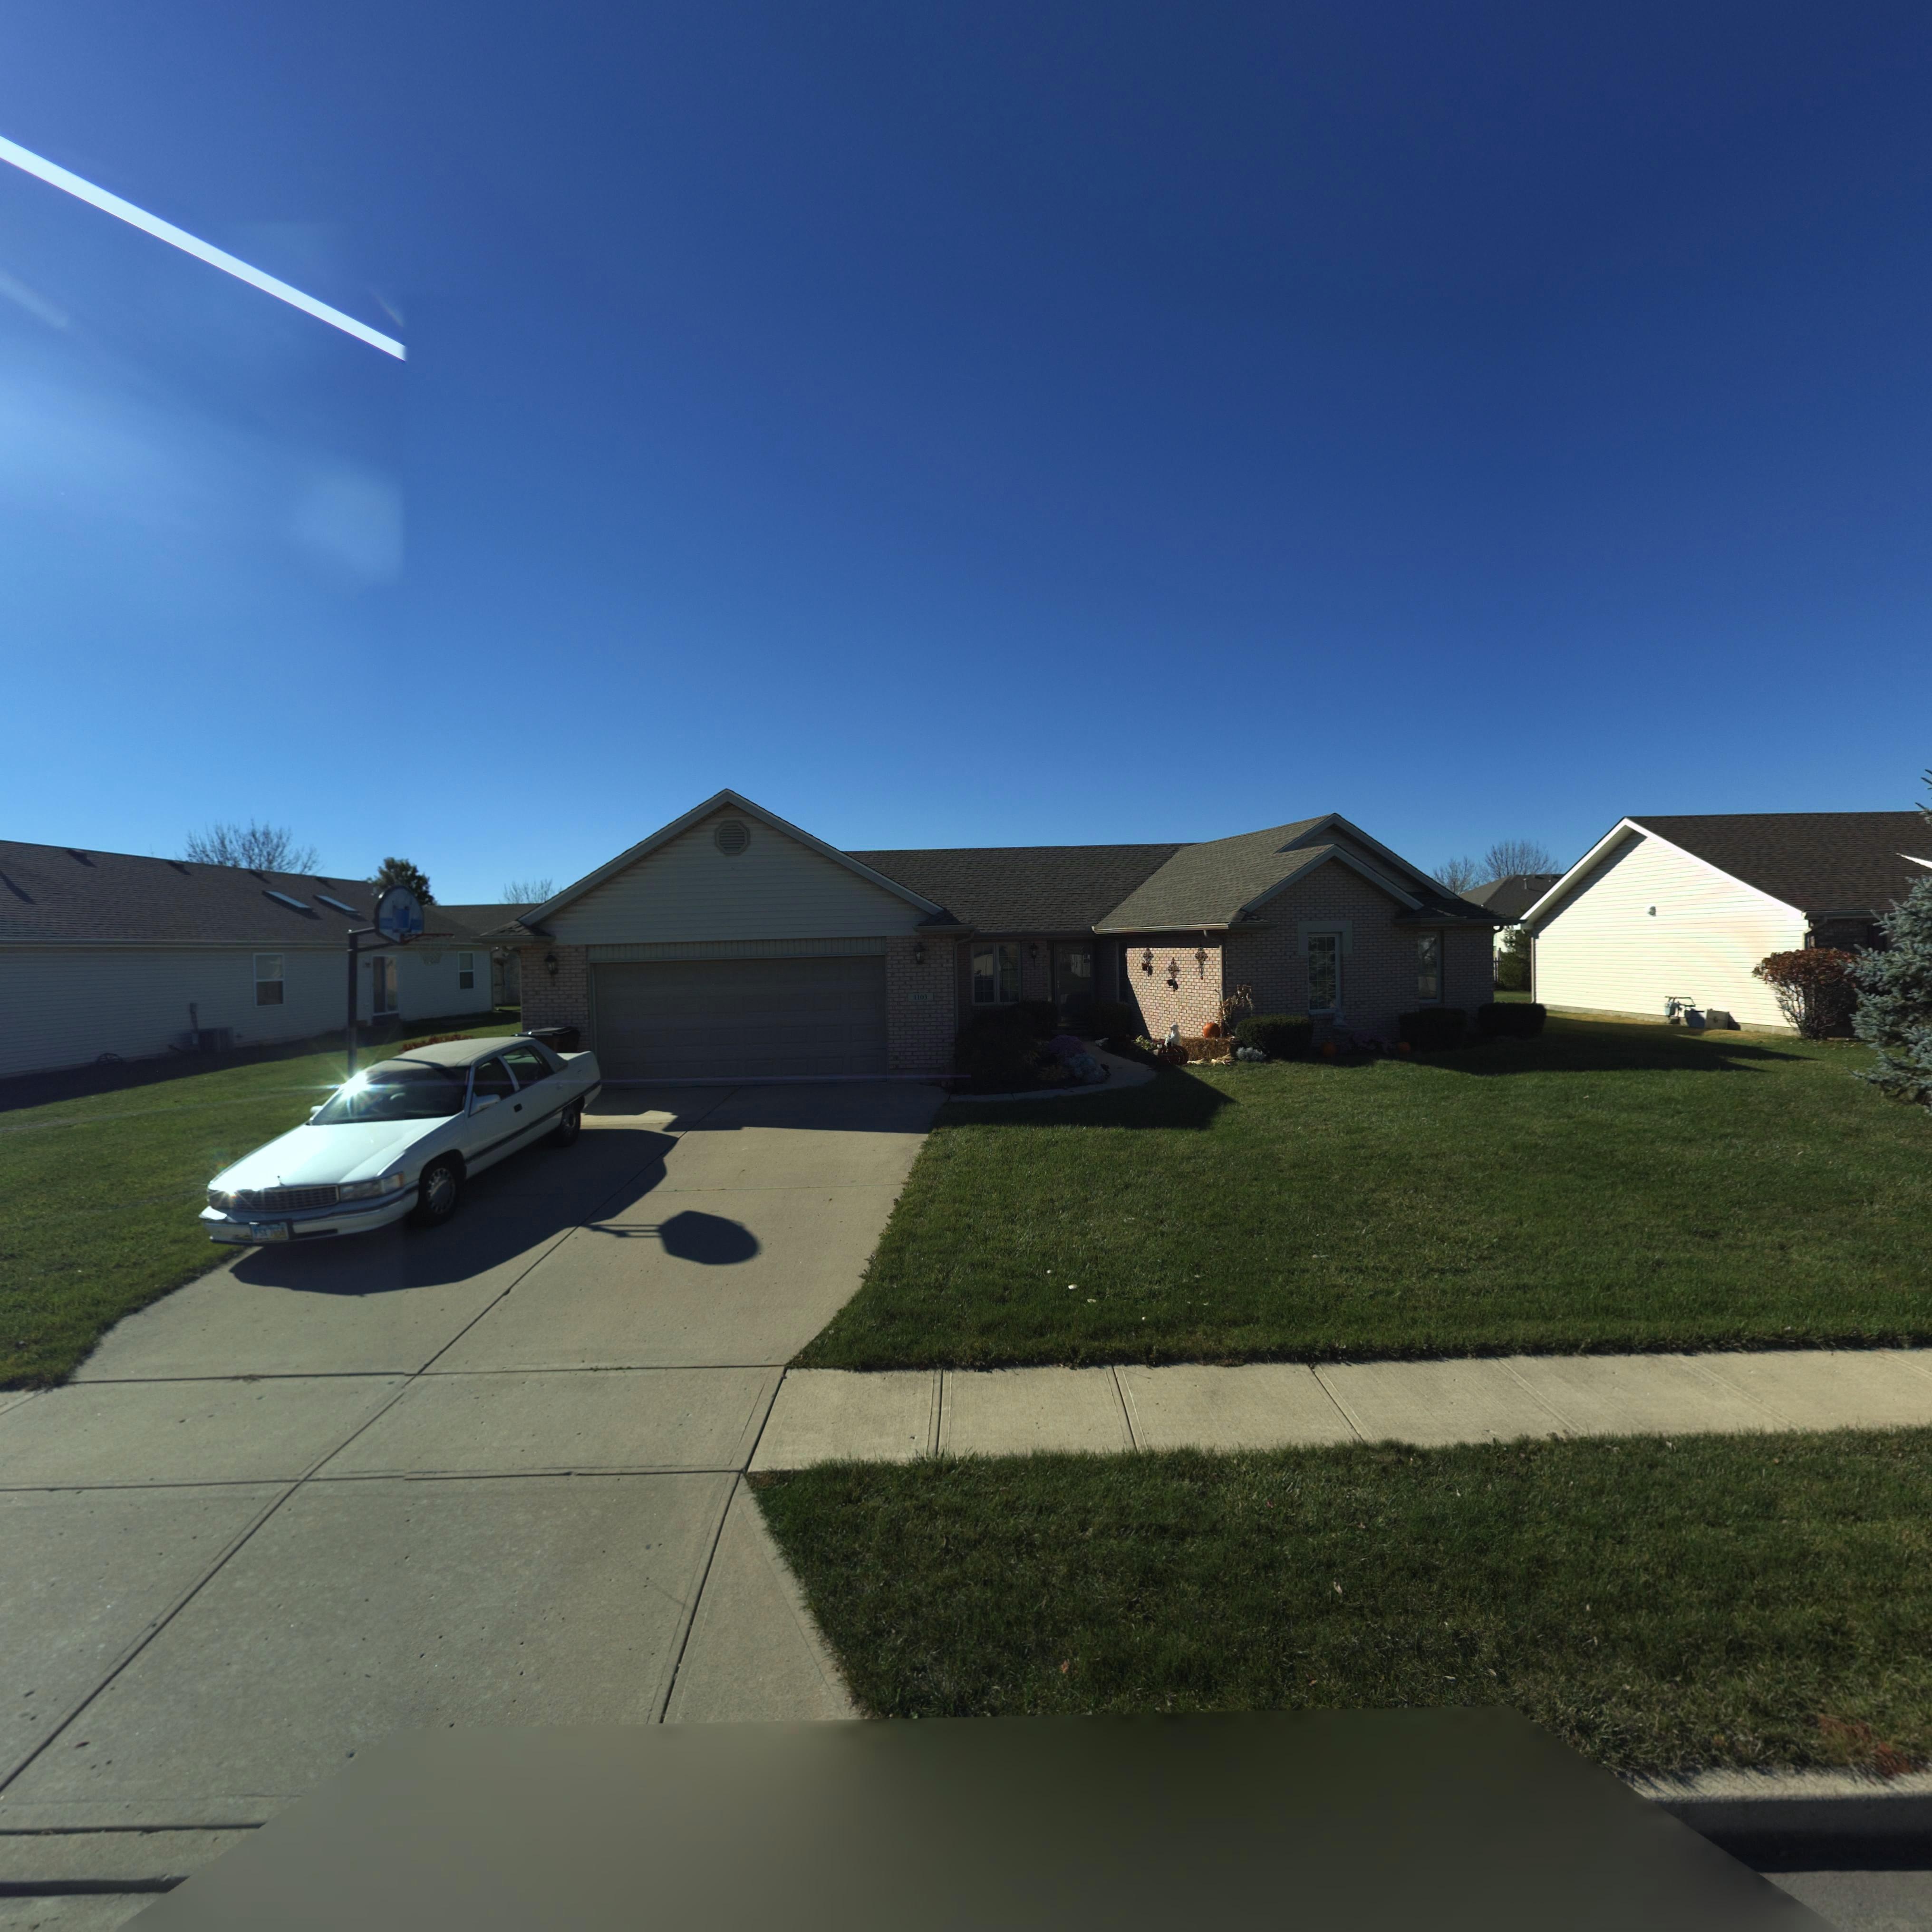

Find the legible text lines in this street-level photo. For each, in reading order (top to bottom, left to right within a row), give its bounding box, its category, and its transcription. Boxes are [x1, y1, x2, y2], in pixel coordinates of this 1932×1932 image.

[913, 994, 928, 1001] StreetNumber: 1103